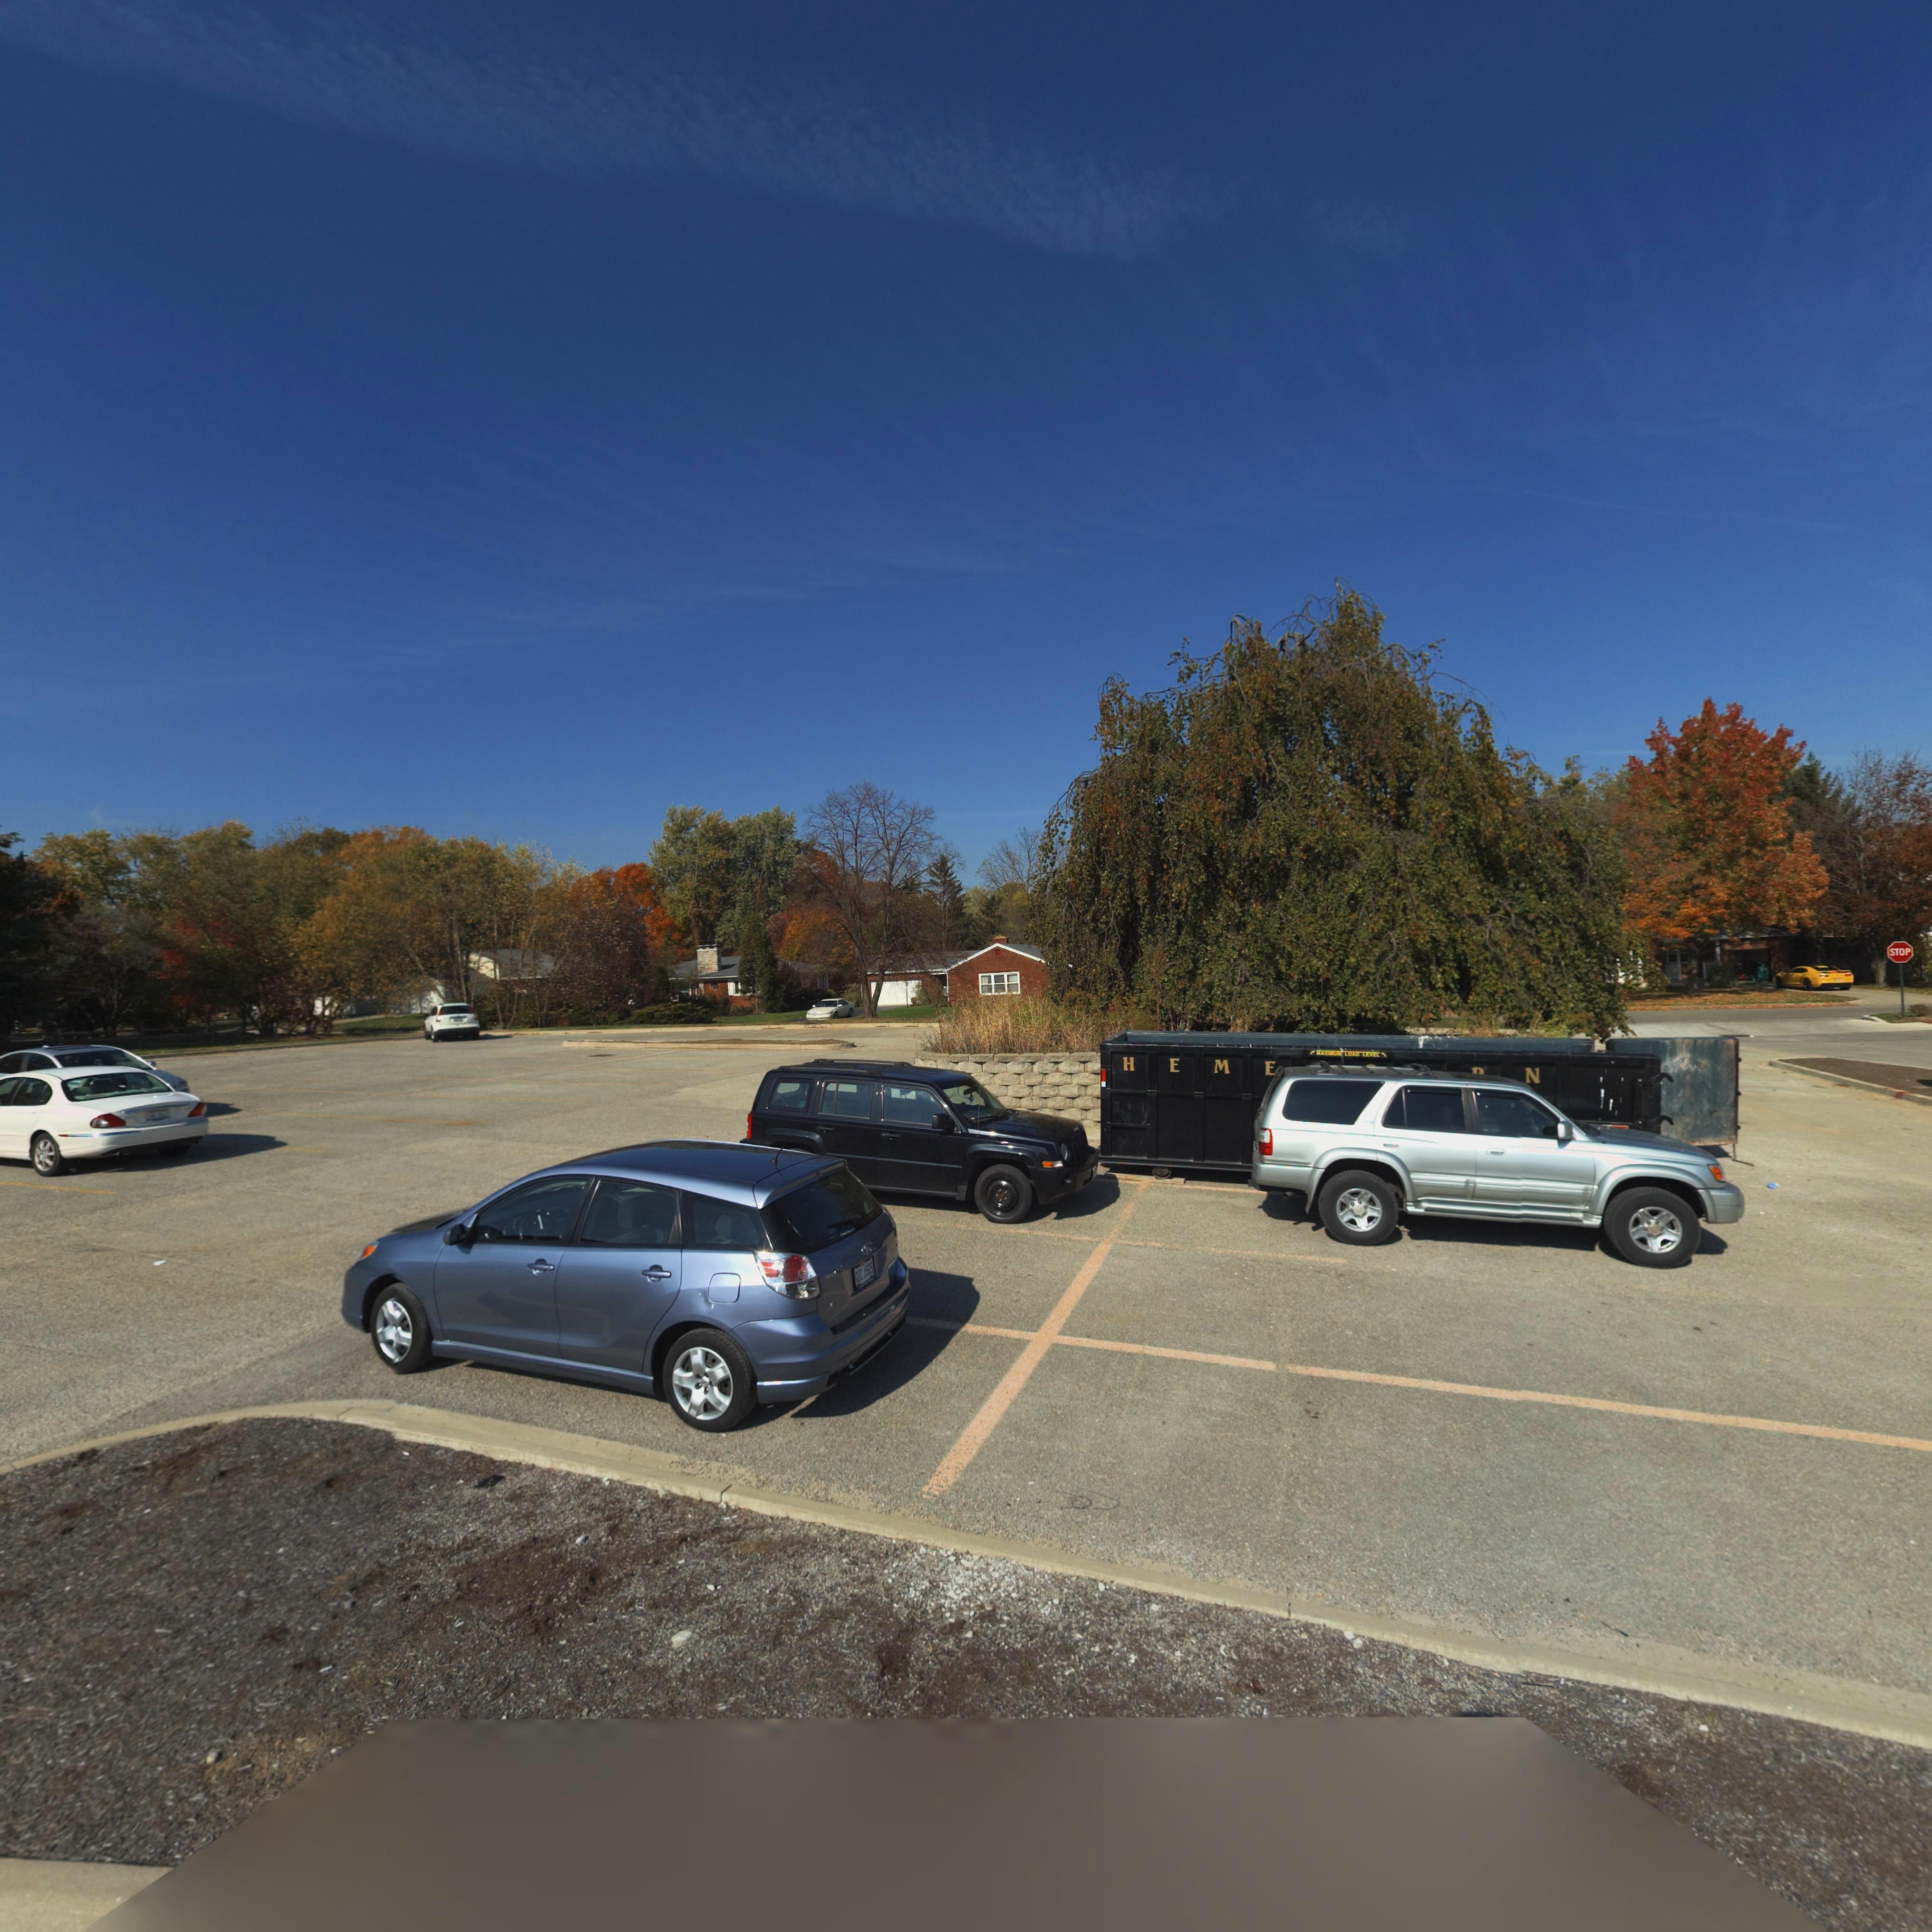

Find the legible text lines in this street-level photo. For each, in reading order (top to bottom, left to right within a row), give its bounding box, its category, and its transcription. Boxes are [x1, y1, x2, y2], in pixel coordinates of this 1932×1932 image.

[1888, 947, 1912, 957] None: STOP